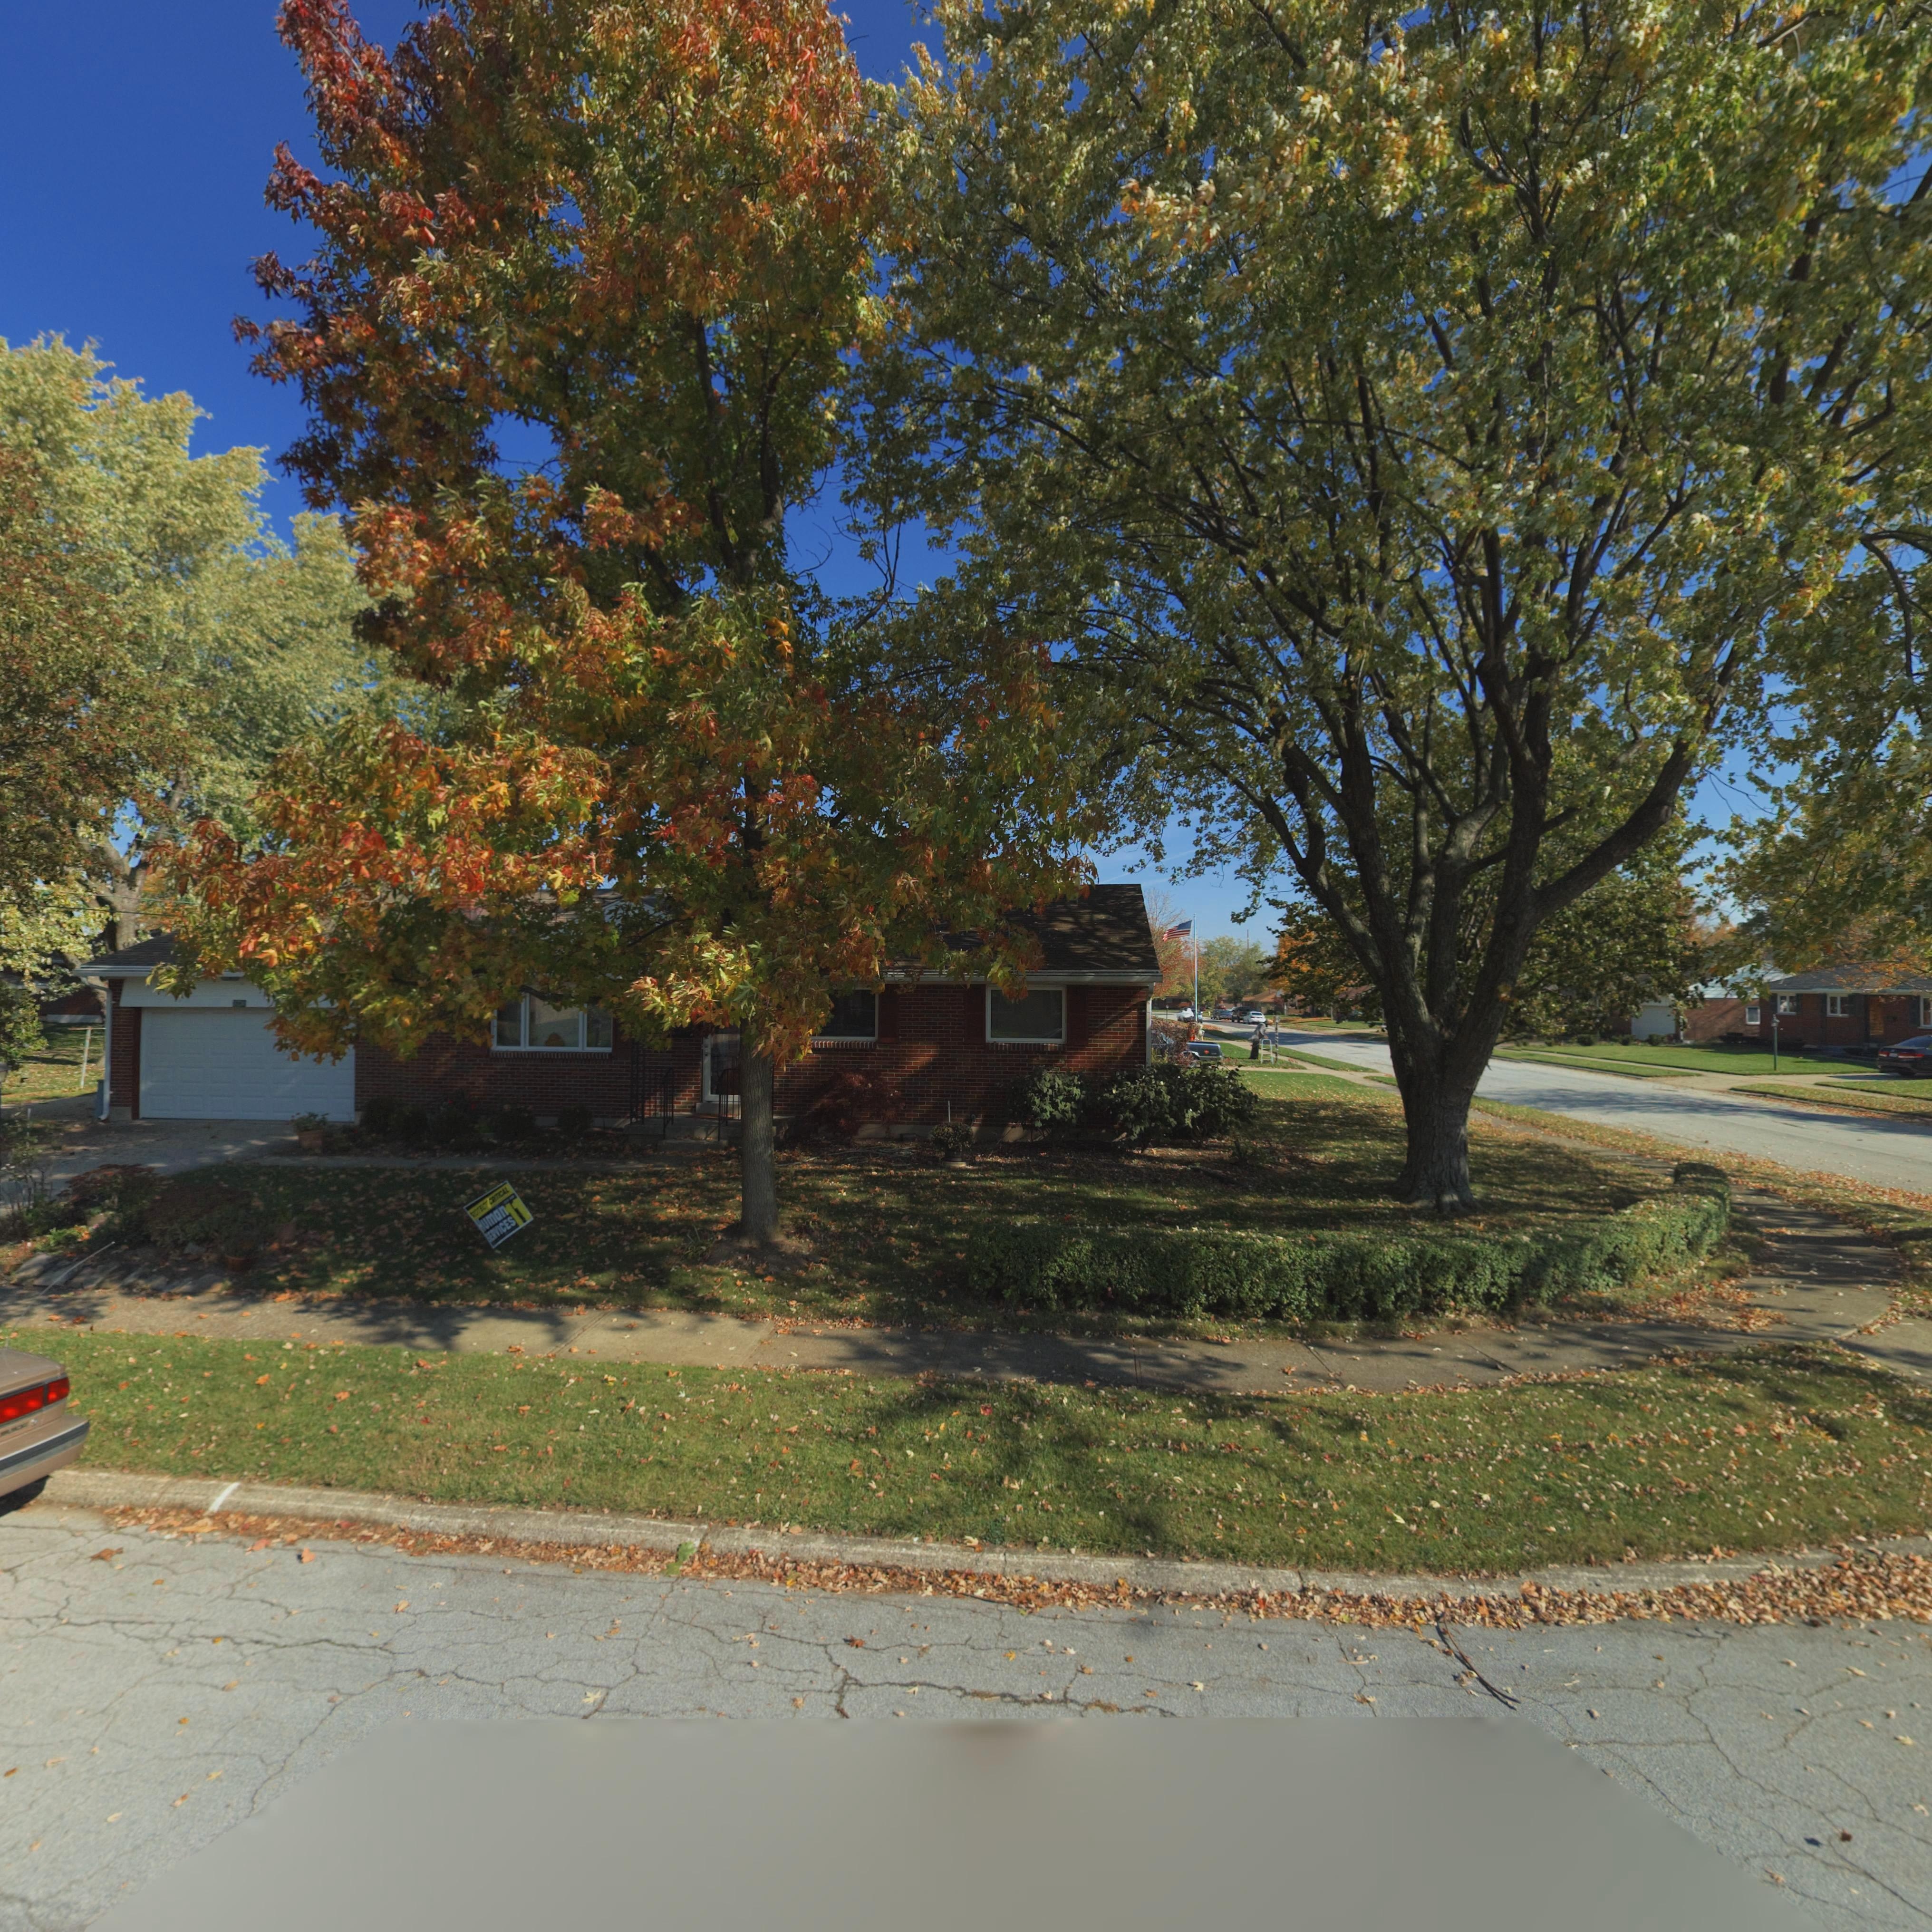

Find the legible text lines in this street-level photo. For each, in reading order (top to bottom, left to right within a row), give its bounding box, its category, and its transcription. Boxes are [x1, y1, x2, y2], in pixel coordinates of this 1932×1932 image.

[233, 1000, 245, 1007] StreetNumber: 3730
[469, 1186, 511, 1218] None: PROTECT CRITICAL
[475, 1204, 510, 1233] None: Human
[485, 1215, 518, 1244] None: SERVICES
[503, 1196, 533, 1227] None: 11